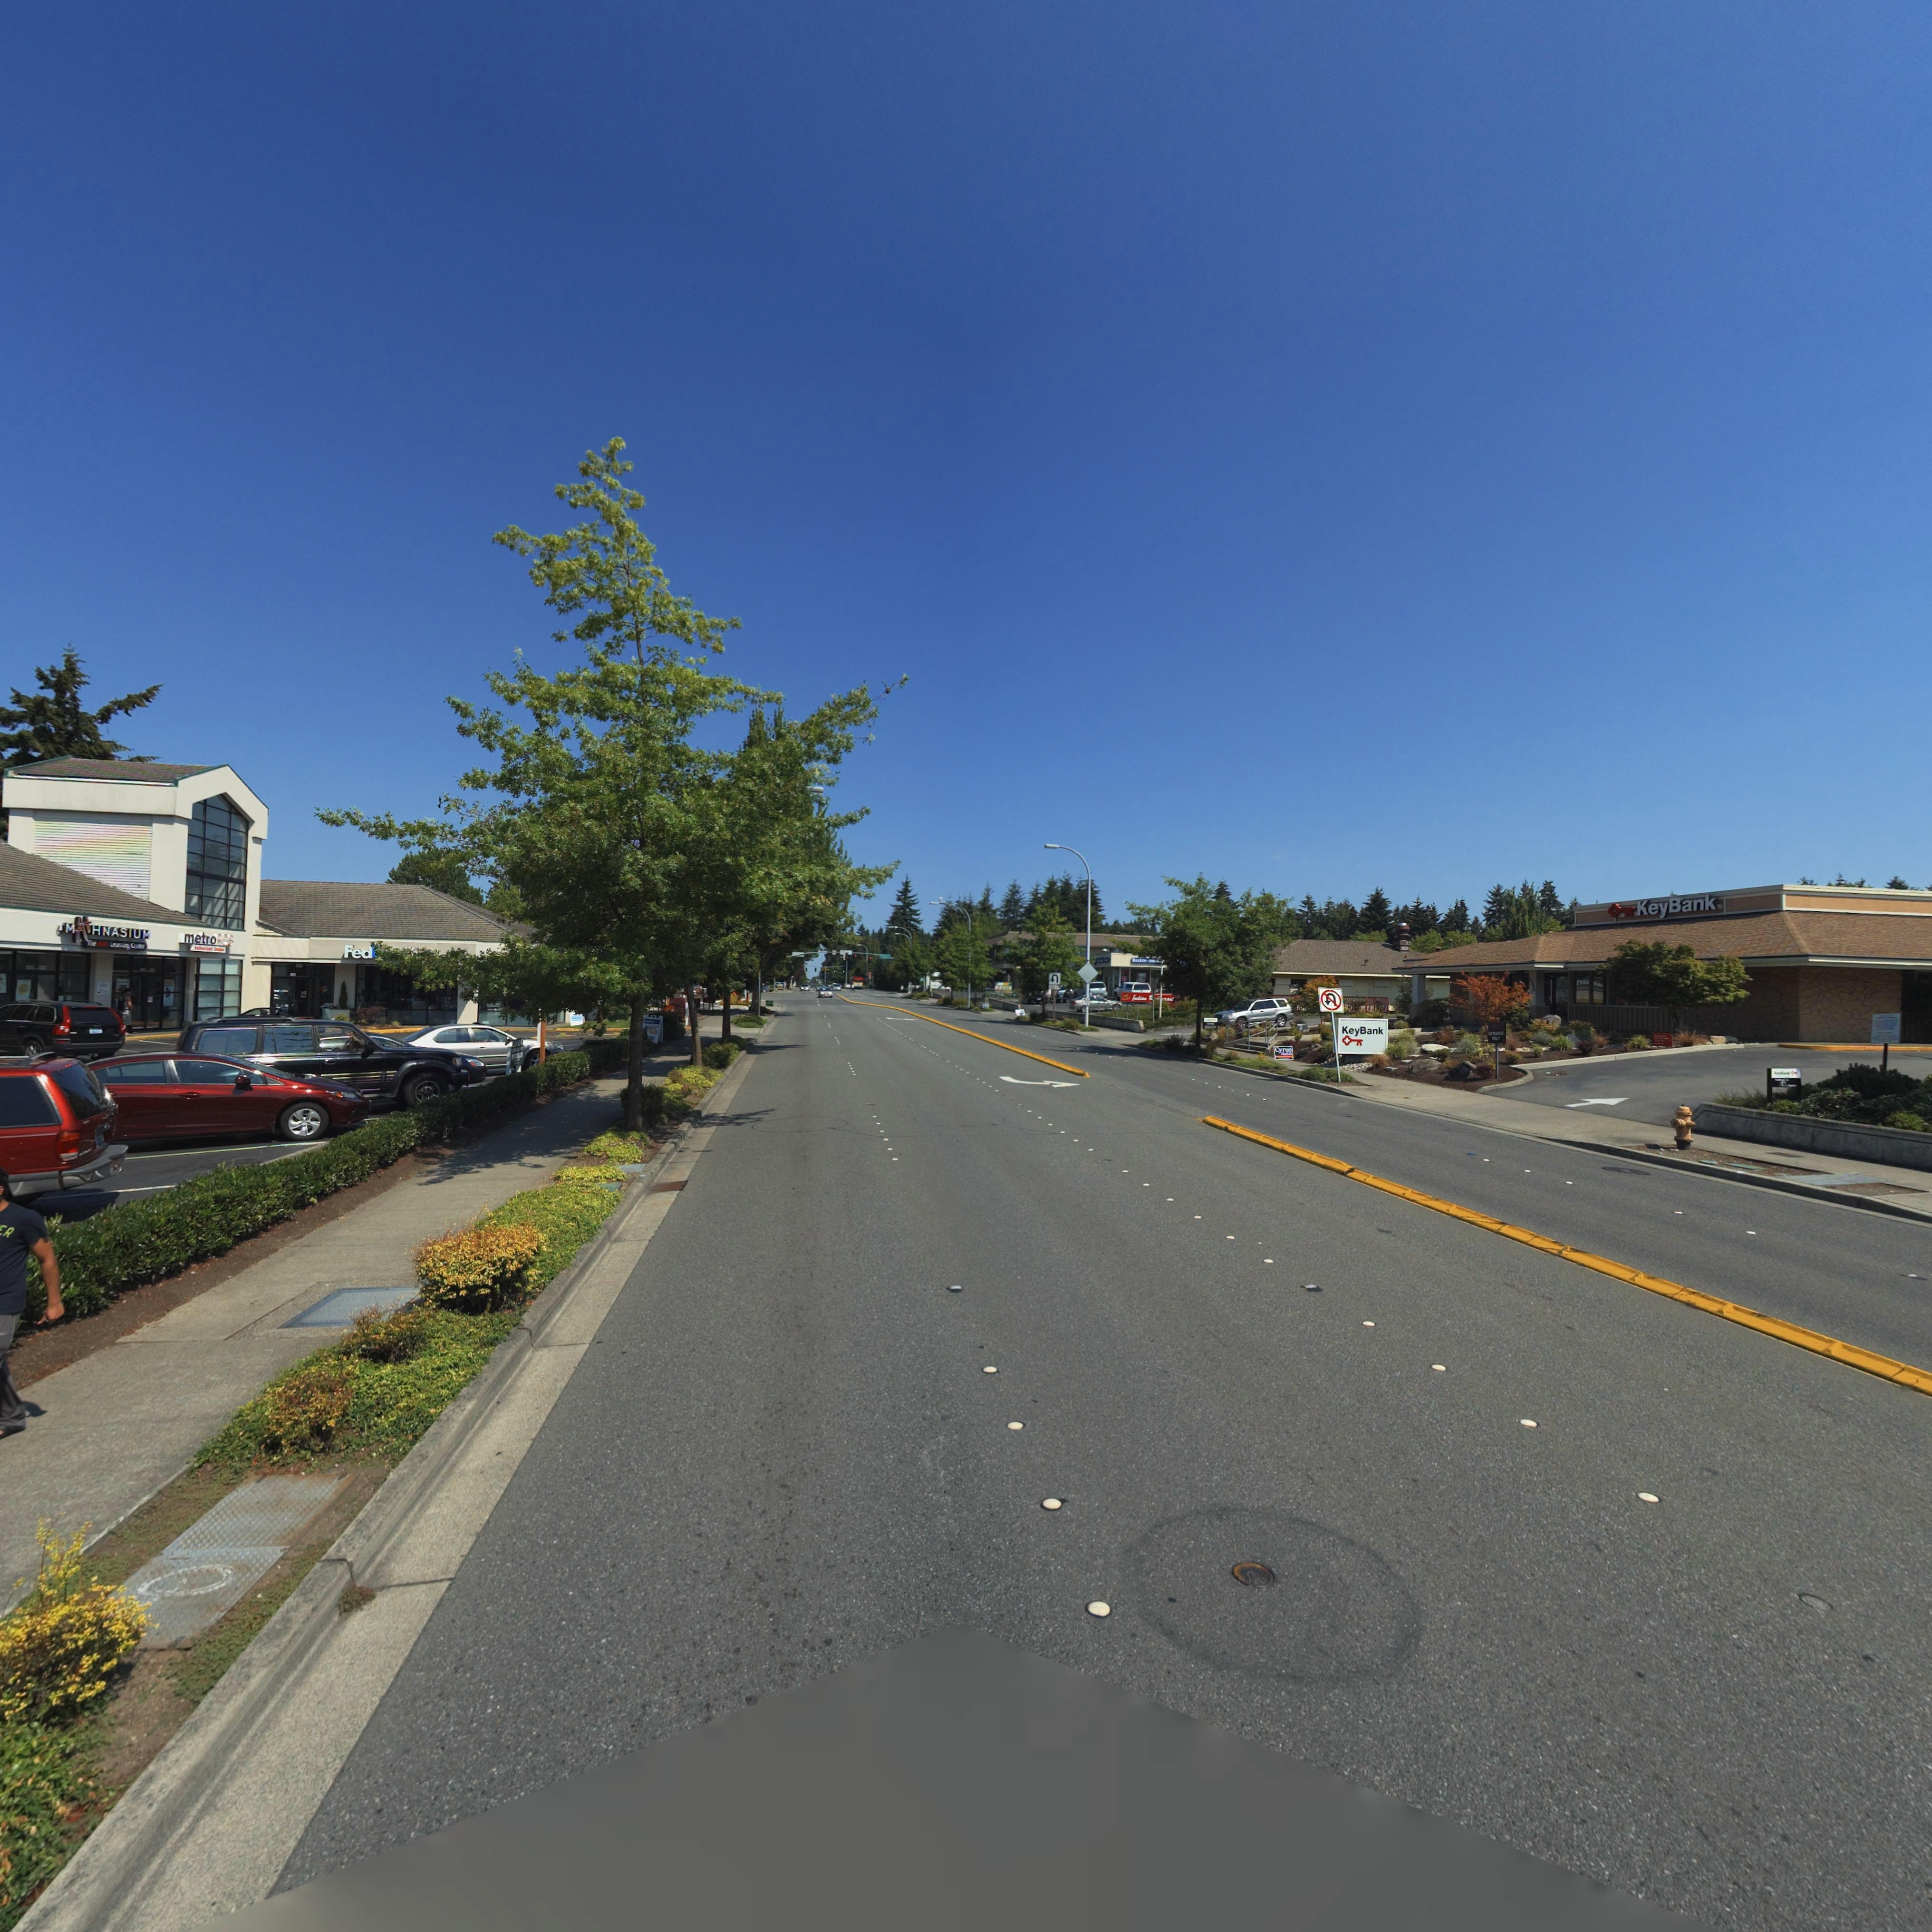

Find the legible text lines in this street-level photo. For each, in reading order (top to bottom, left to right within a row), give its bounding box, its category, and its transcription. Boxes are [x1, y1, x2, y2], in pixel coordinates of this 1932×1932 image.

[1636, 893, 1717, 919] BusinessName: KeyBank
[182, 930, 235, 947] BusinessName: metroPCS
[342, 943, 374, 959] BusinessName: Fed
[1343, 1026, 1382, 1036] BusinessName: KeyBank